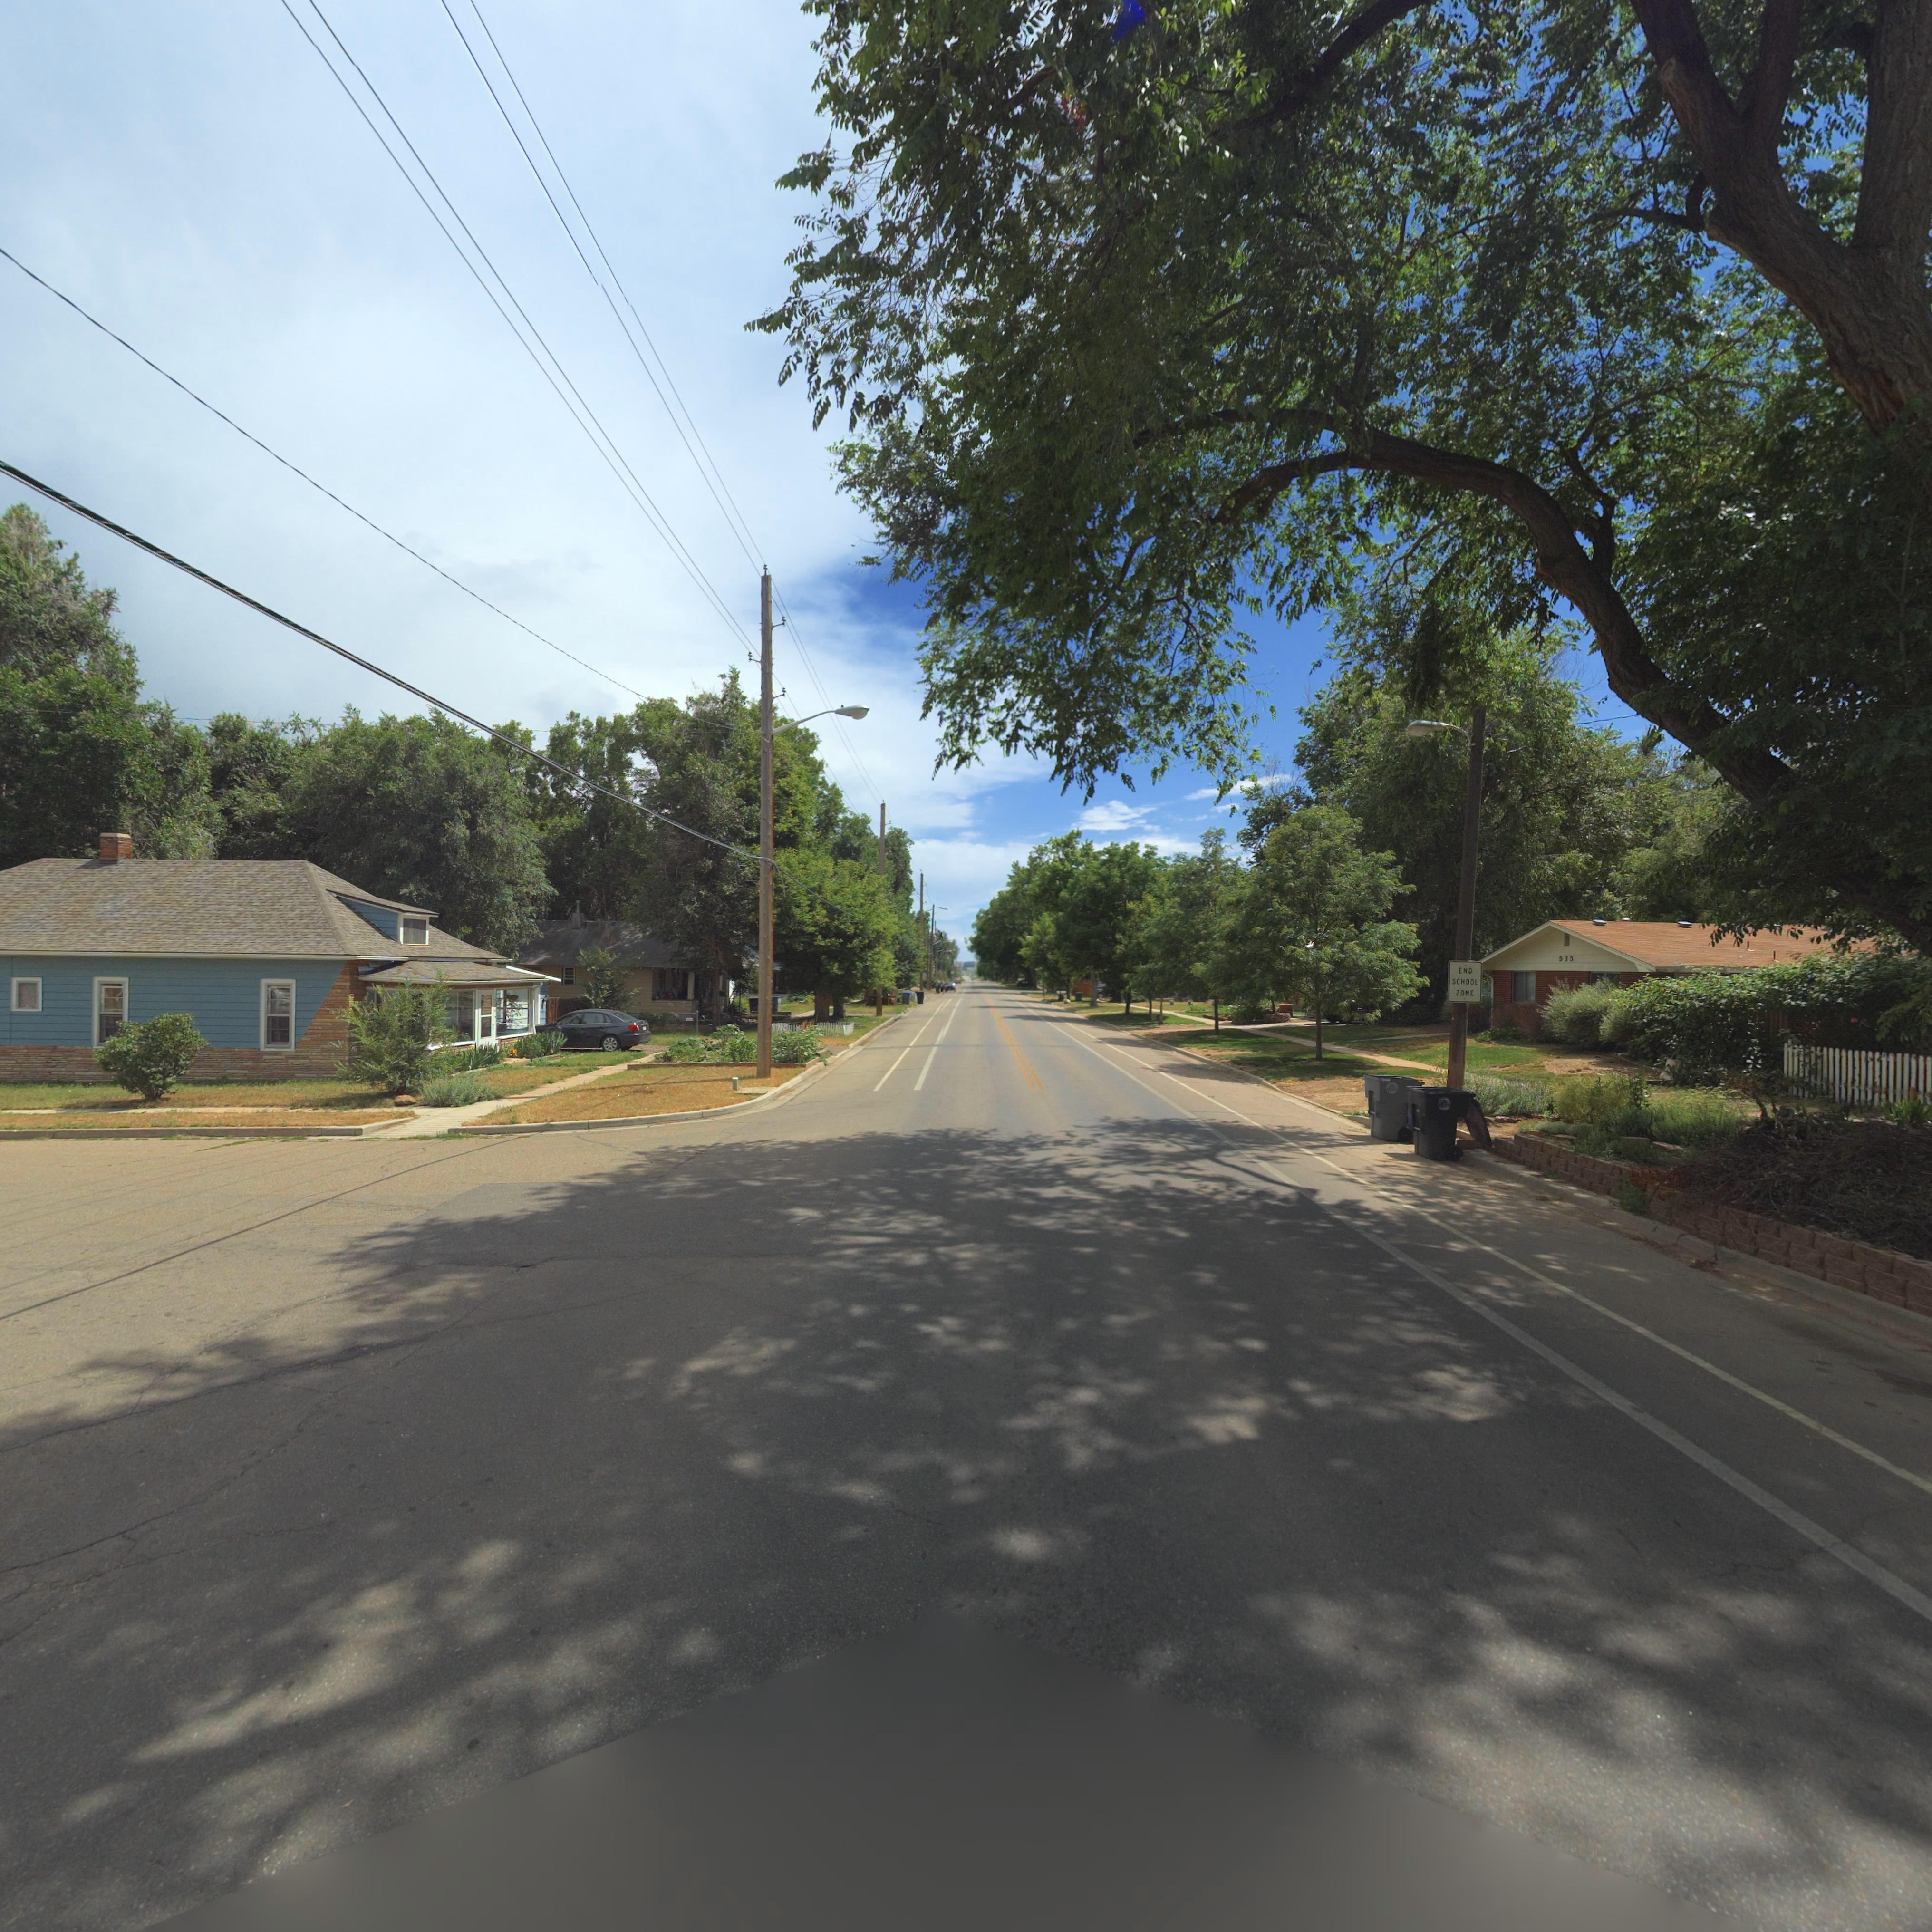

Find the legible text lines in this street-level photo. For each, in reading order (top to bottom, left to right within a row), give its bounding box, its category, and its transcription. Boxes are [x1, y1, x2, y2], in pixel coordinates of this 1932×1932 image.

[1558, 956, 1574, 962] StreetNumber: 535